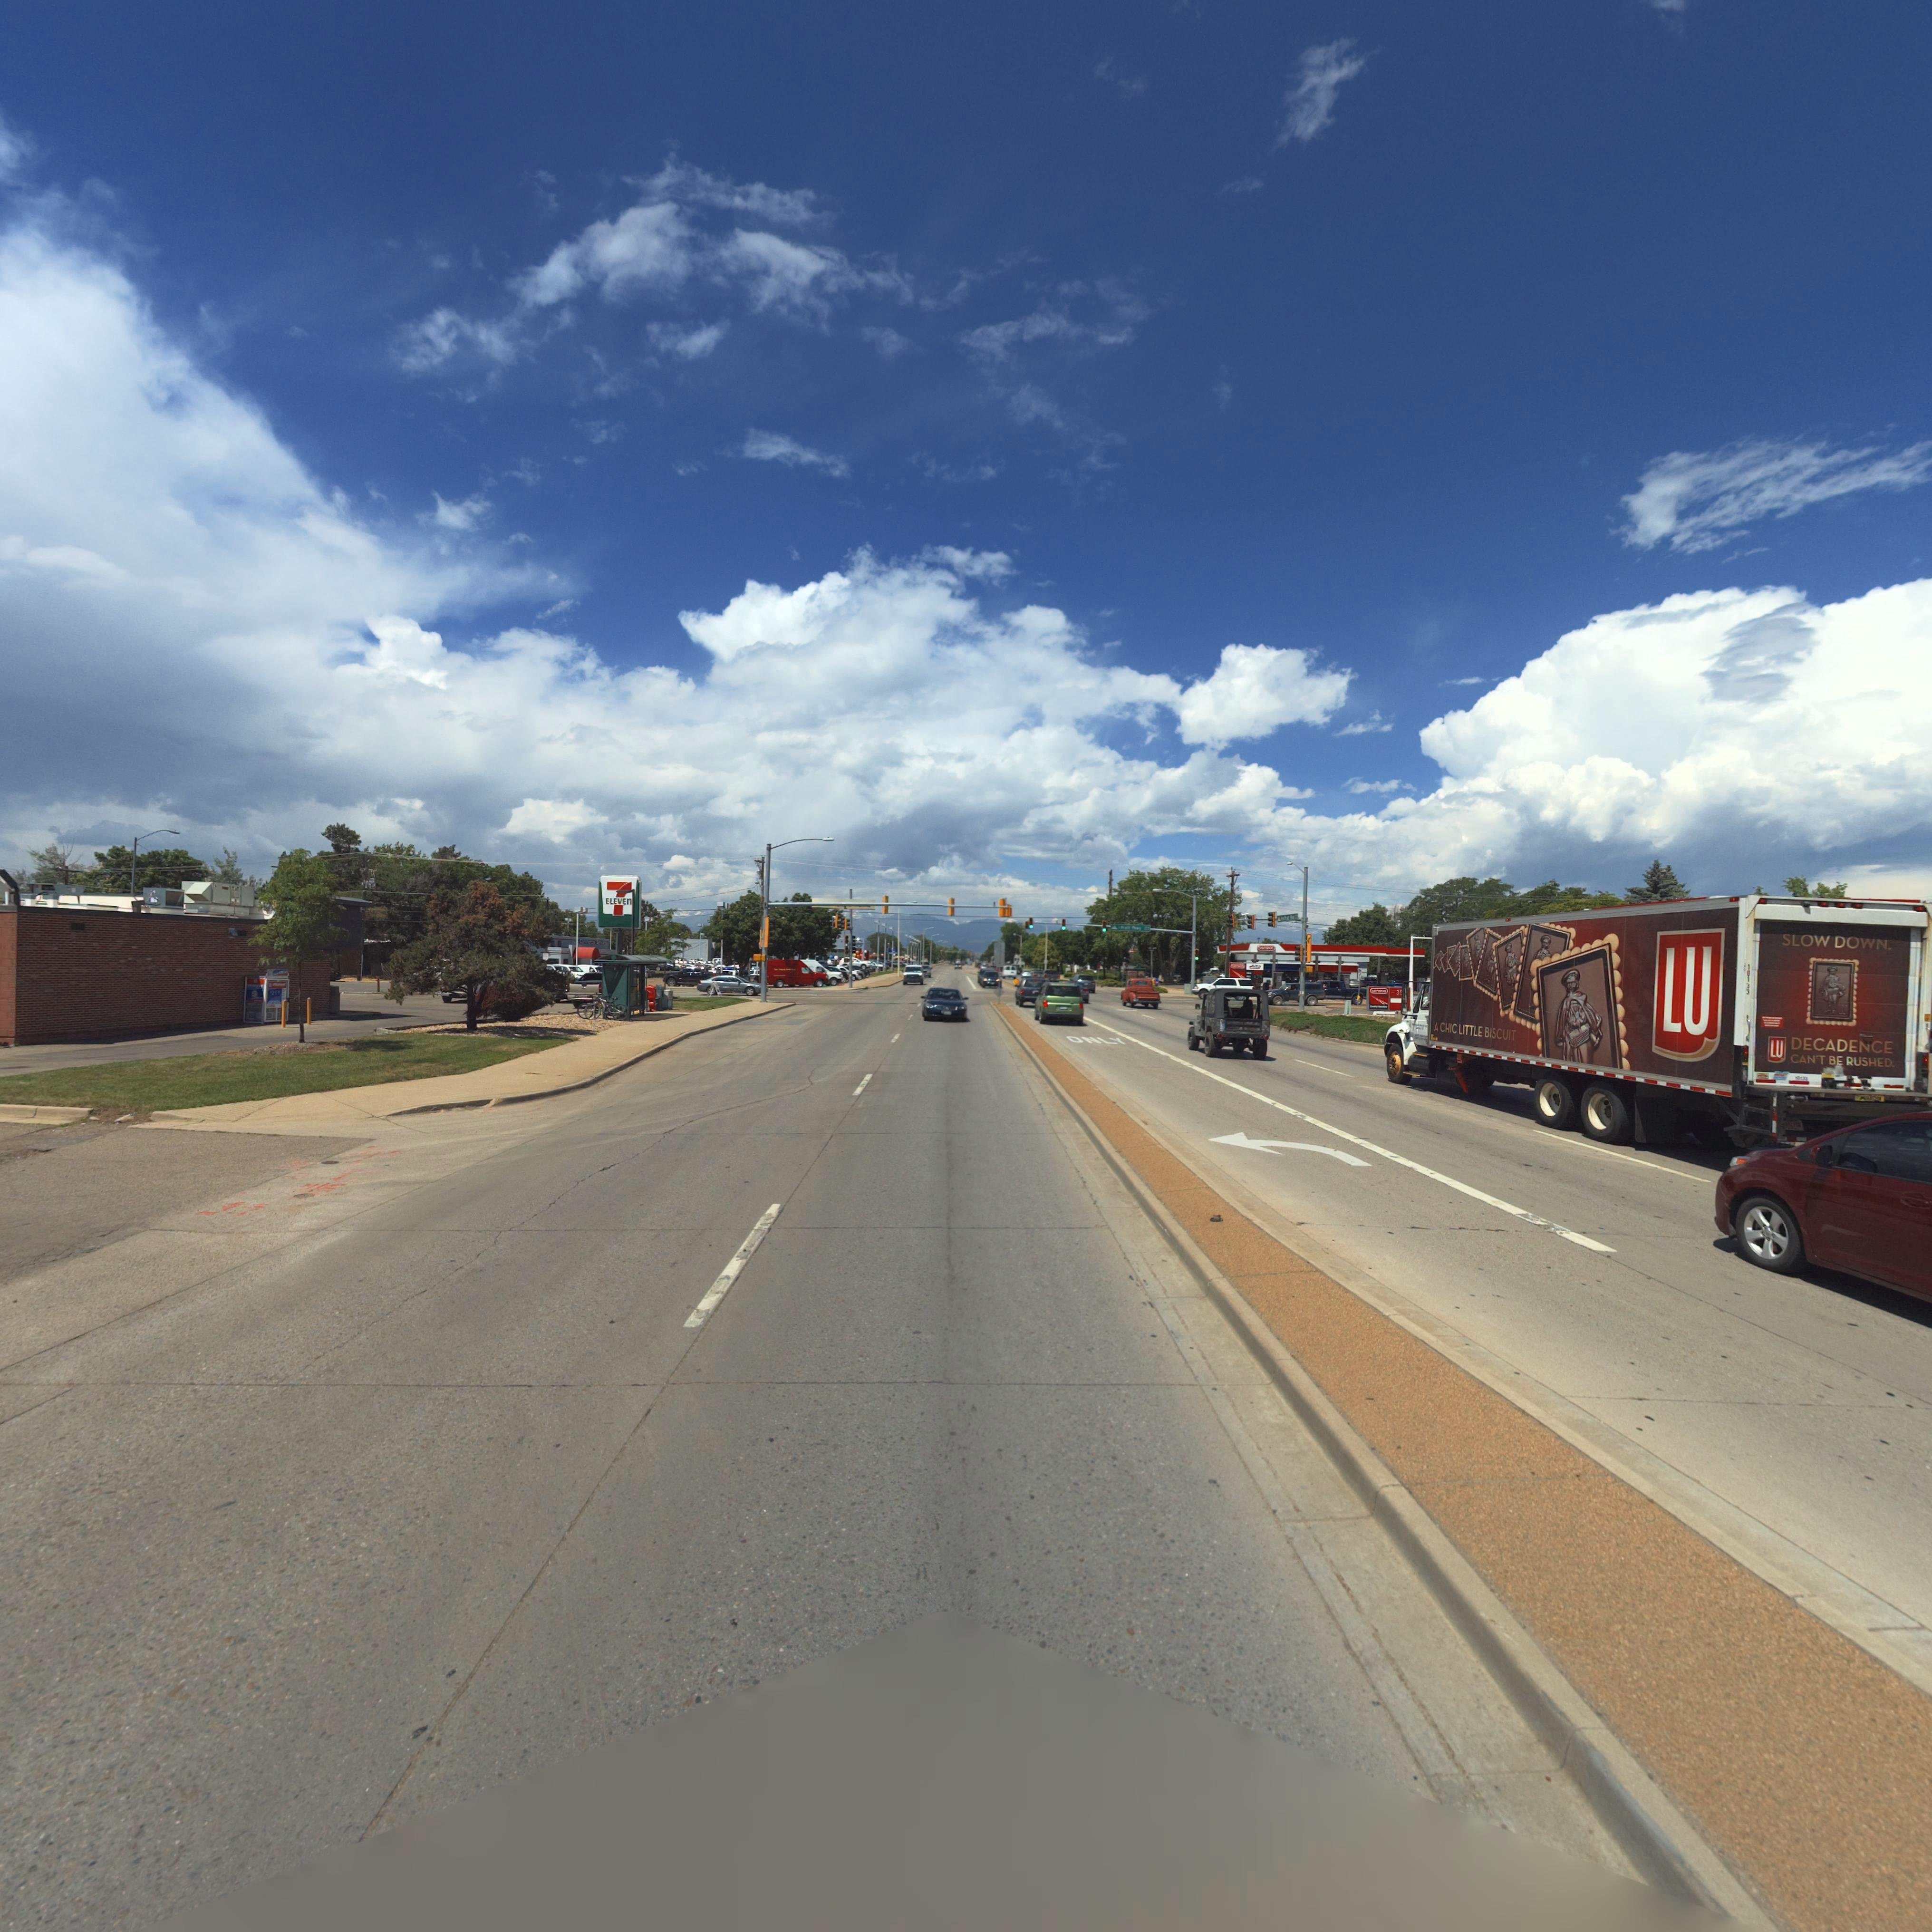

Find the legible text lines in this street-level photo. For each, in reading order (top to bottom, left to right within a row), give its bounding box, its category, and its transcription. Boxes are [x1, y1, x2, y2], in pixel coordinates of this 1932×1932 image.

[605, 897, 632, 905] BusinessName: ELEVEN
[1118, 925, 1141, 931] StreetName: * P**** Pk**
[1371, 989, 1386, 992] BusinessName: **no*o